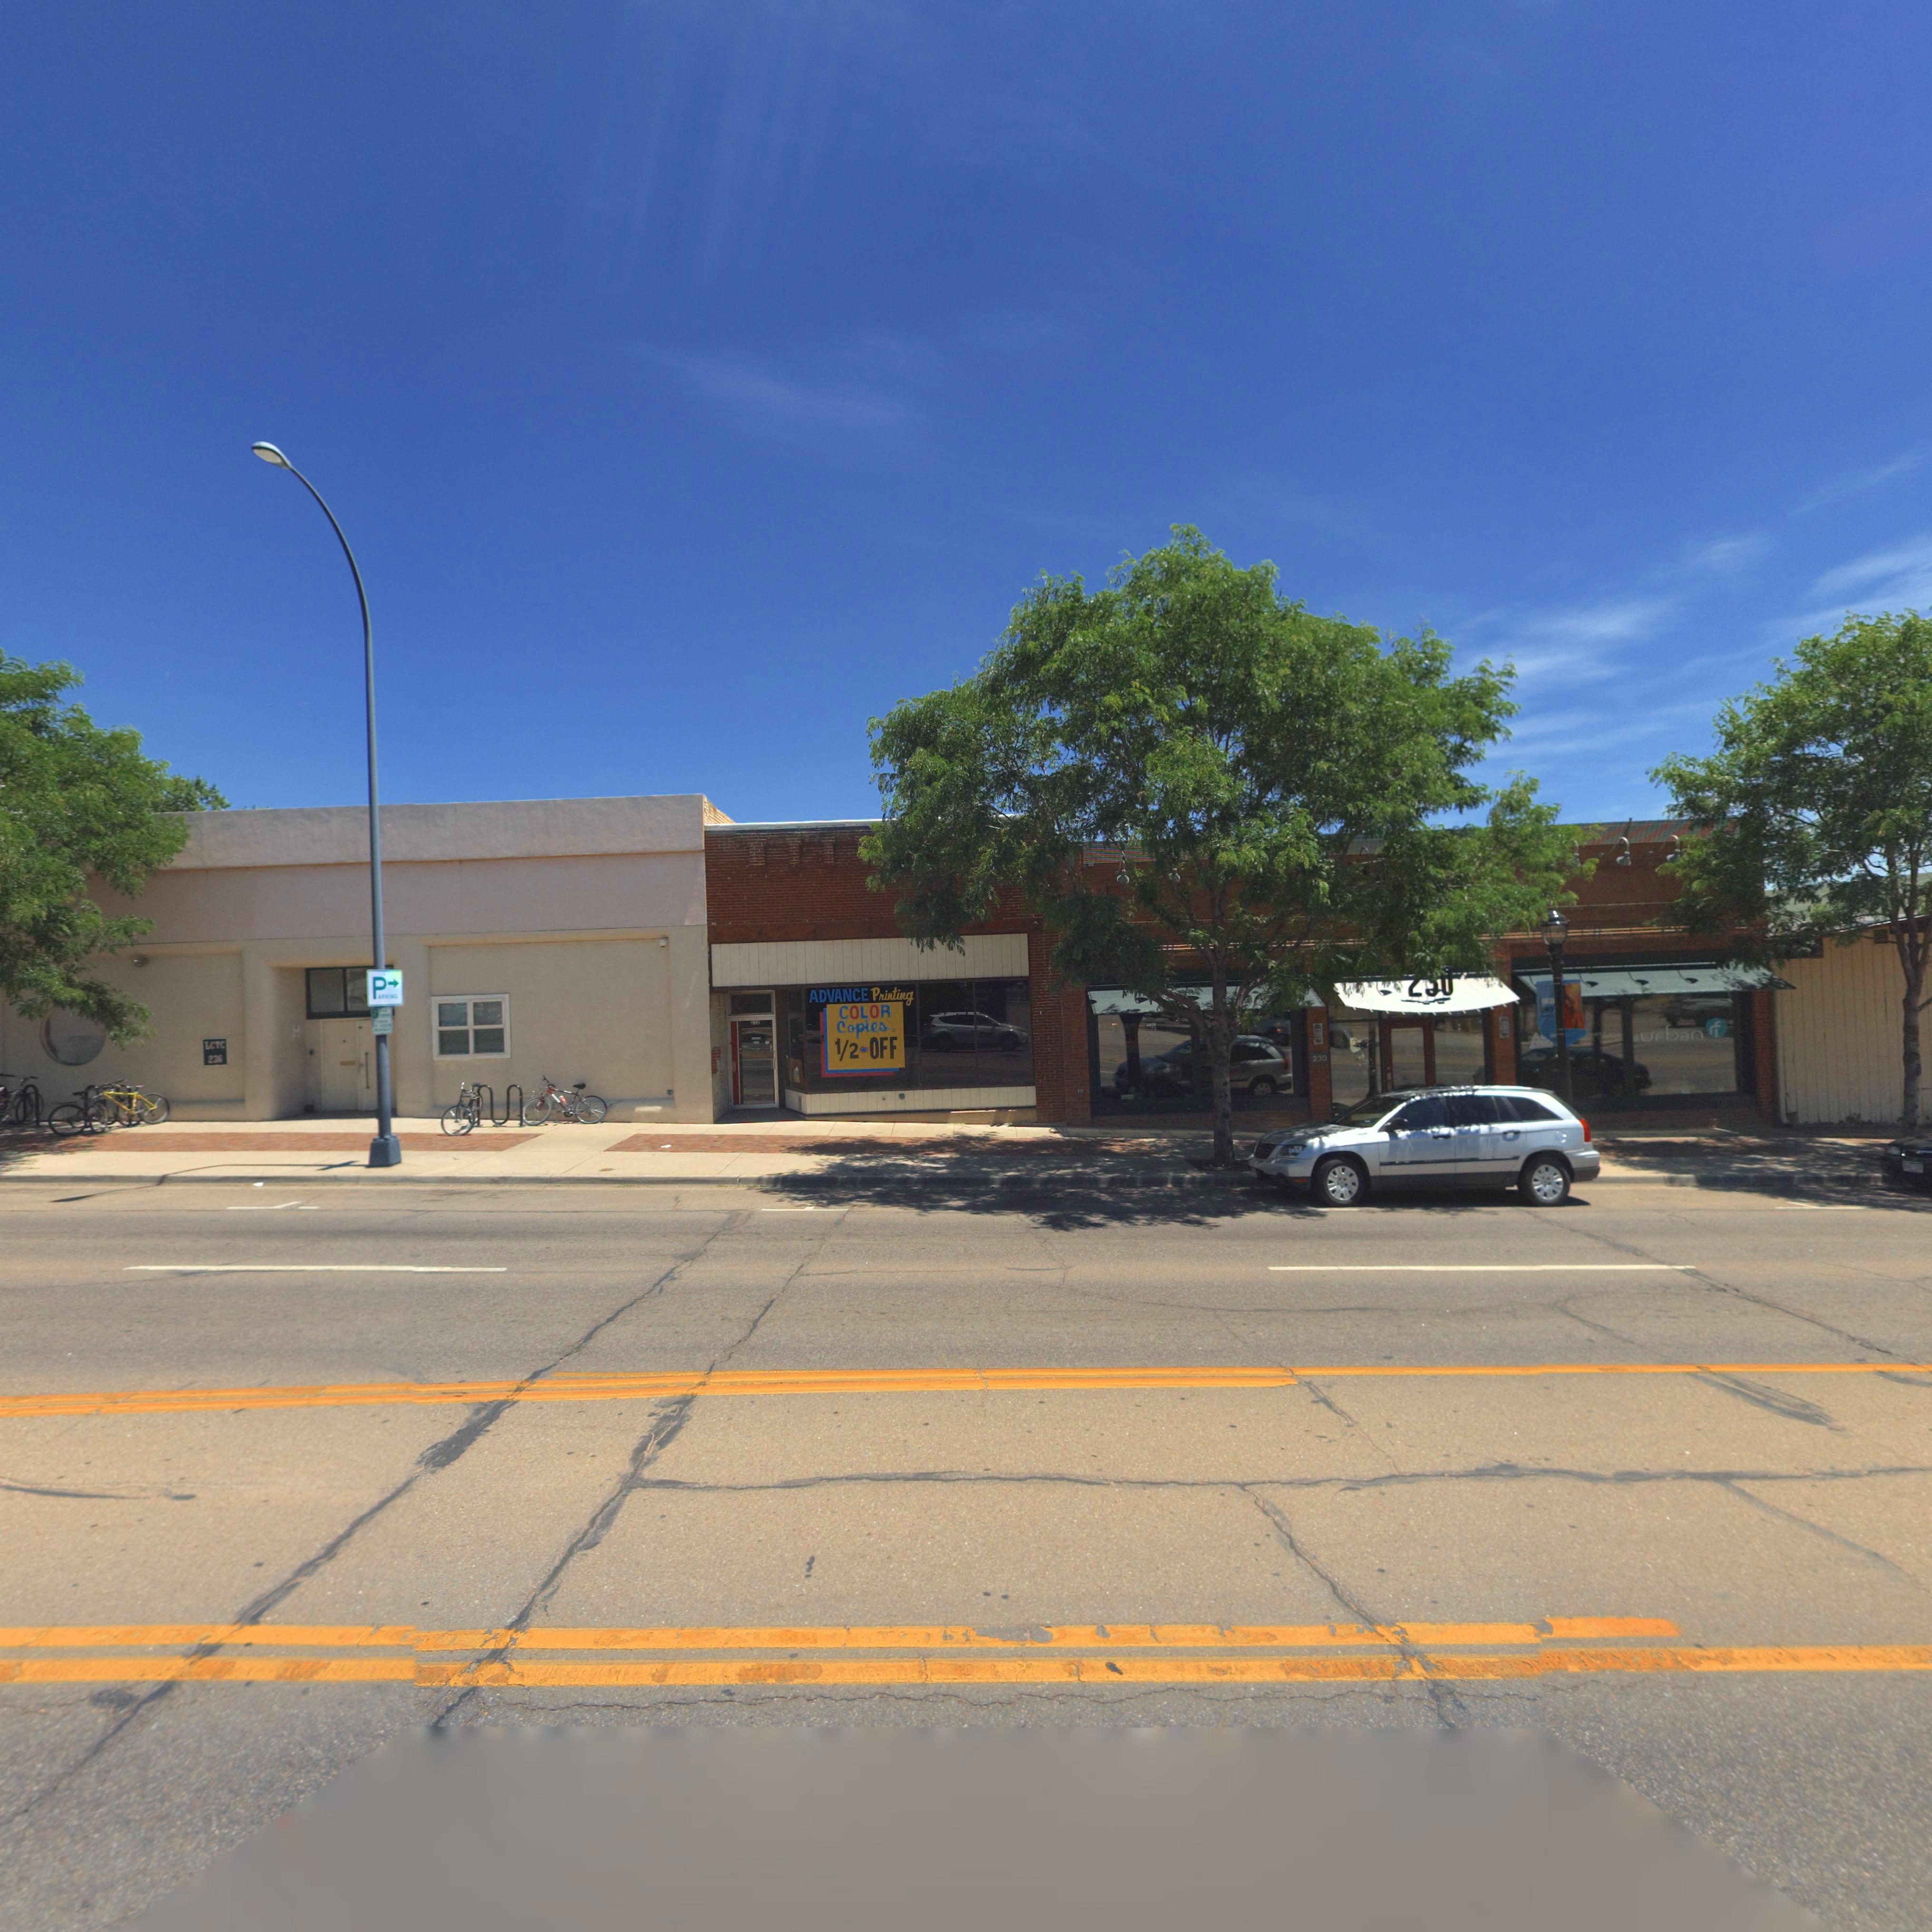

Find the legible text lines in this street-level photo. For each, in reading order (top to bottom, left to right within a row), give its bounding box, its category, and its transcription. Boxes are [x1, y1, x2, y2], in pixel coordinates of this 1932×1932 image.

[1407, 964, 1454, 998] StreetNumber: 2*0
[809, 985, 915, 1007] BusinessName: ADVANCE Printing
[1637, 1023, 1704, 1043] BusinessName: Urban
[208, 1054, 223, 1063] StreetNumber: 236
[1313, 1055, 1327, 1062] StreetNumber: 230